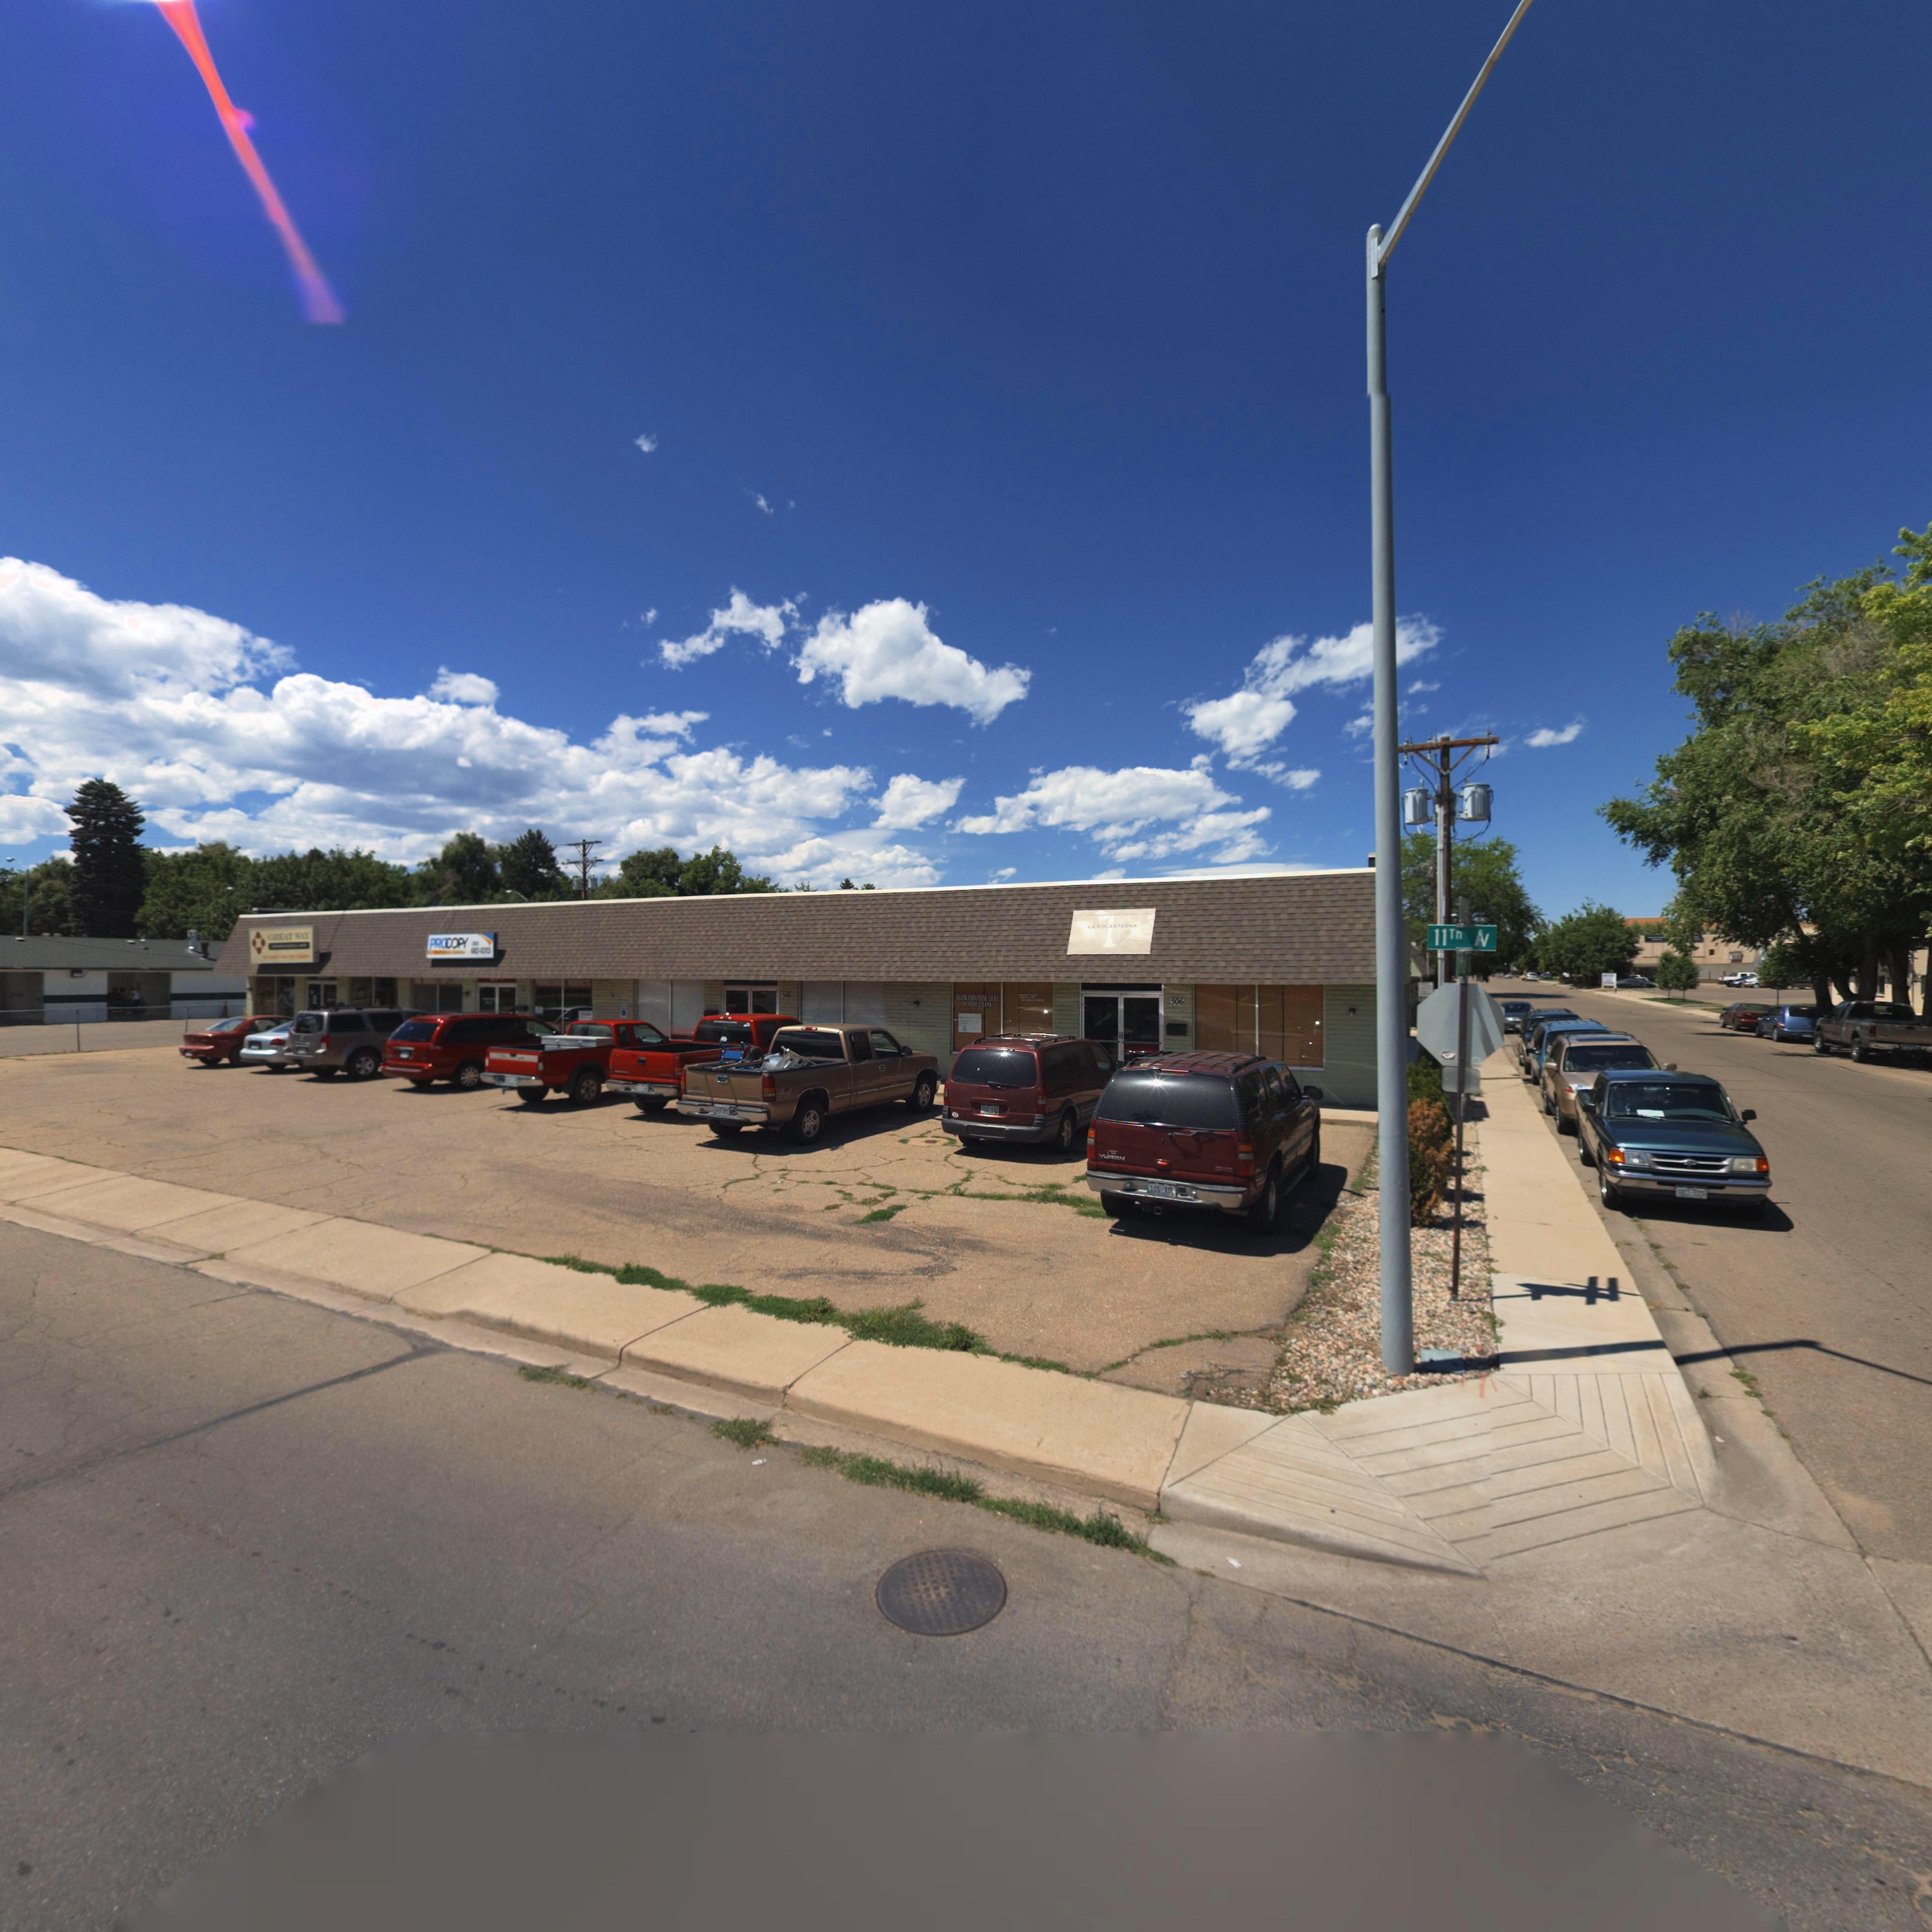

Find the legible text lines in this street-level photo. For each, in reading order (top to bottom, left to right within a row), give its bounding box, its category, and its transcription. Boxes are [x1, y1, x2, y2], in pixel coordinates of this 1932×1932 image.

[1087, 923, 1138, 929] BusinessName: LA ROCA ETERNA
[267, 931, 310, 941] BusinessName: GRE*T WAY
[1434, 927, 1490, 947] StreetName: 11T* A*
[428, 936, 469, 955] BusinessName: PROCOPY
[781, 992, 791, 998] StreetNumber: 508
[1169, 998, 1184, 1005] StreetNumber: 506